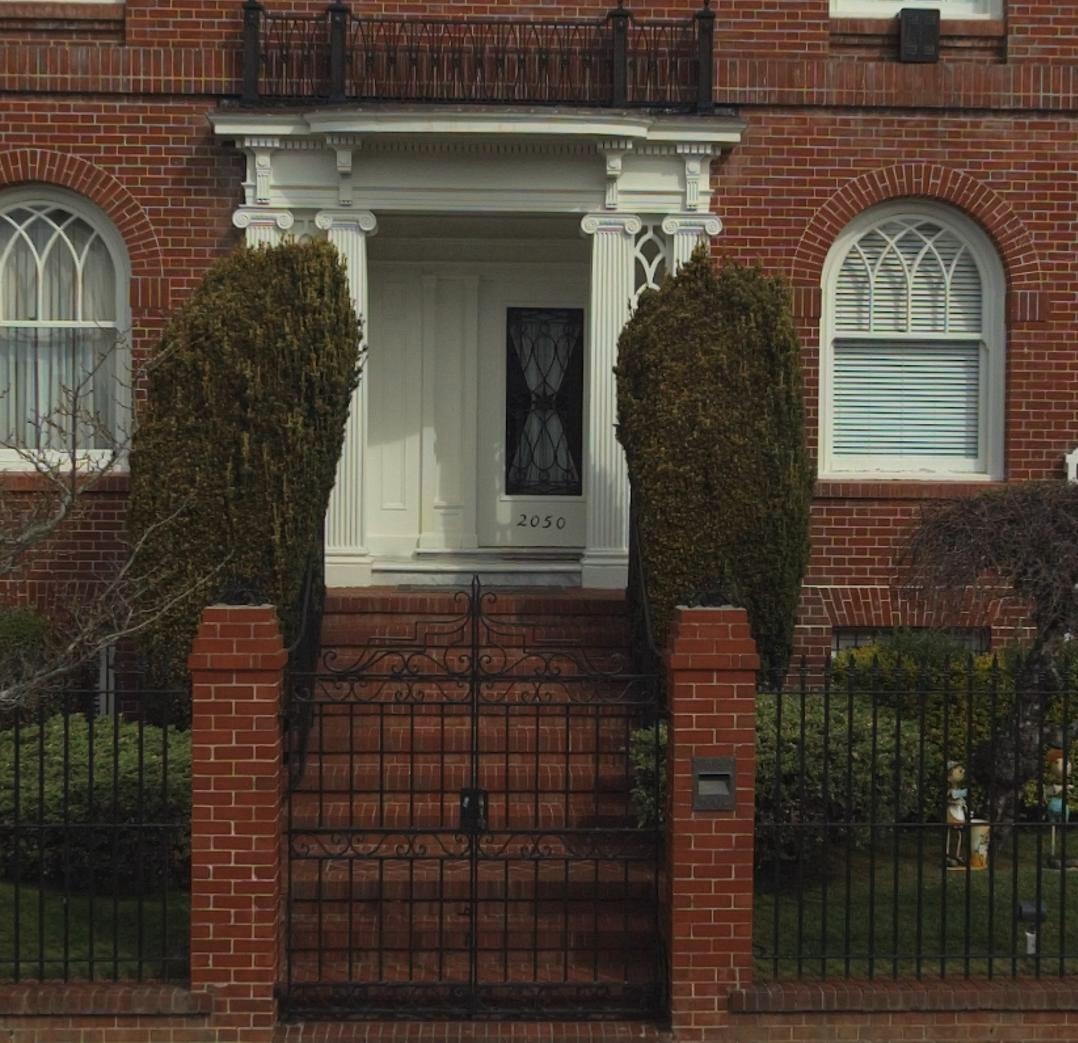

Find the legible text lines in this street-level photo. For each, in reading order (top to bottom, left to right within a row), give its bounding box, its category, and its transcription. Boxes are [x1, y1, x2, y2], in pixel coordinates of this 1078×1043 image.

[516, 513, 567, 530] StreetNumber: 2050